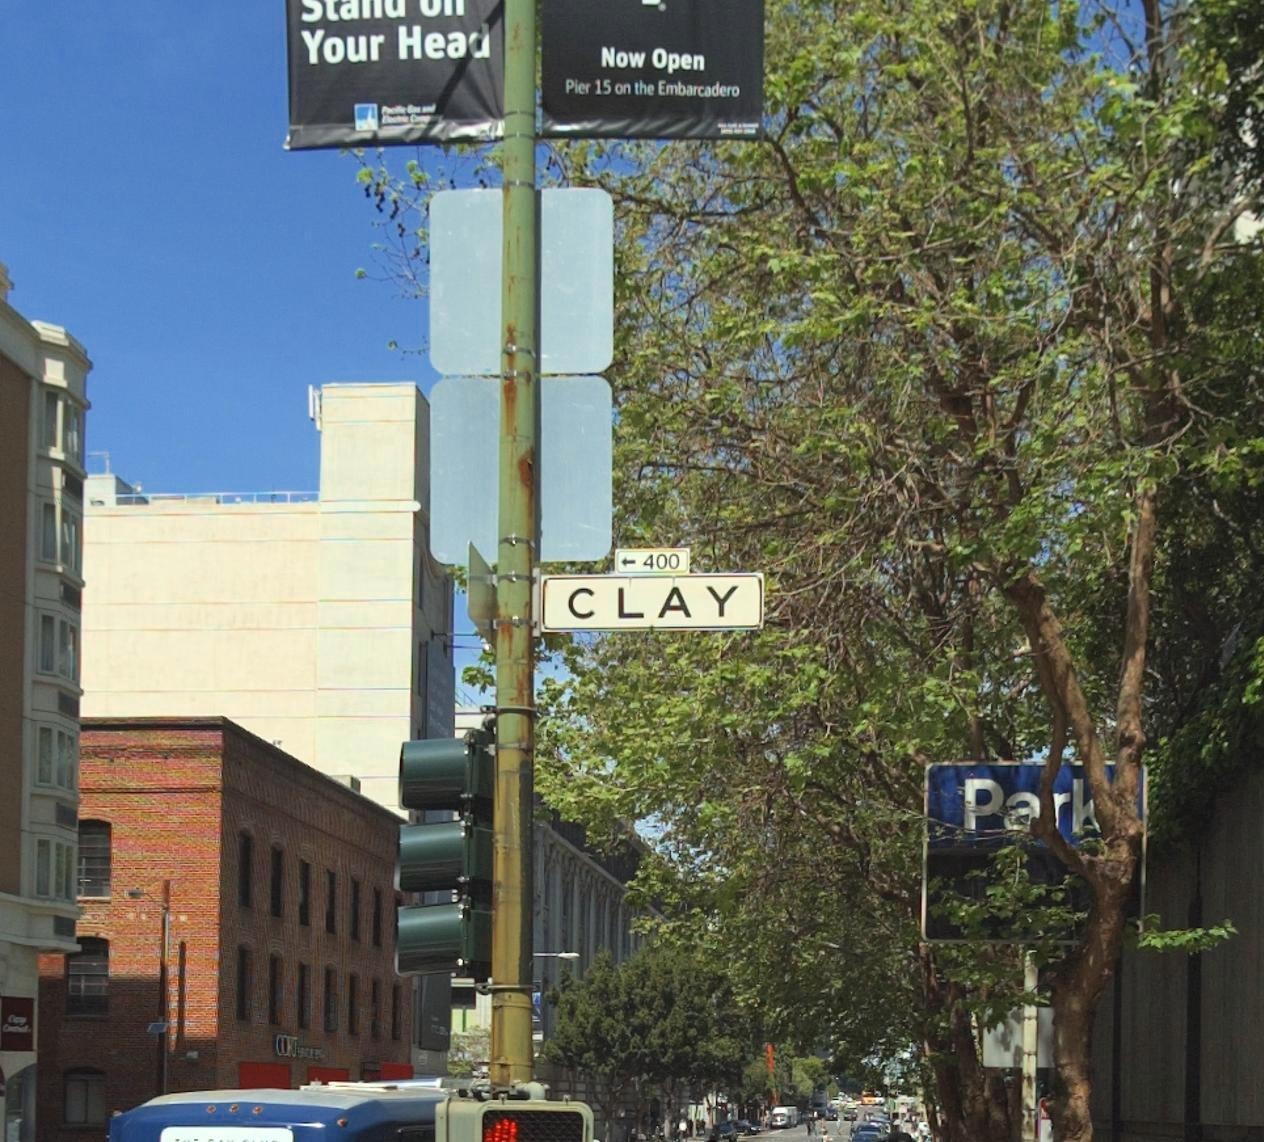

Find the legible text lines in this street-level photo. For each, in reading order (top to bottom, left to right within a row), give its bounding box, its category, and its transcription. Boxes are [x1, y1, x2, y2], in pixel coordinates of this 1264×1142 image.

[296, 20, 496, 68] None: Your Head
[596, 44, 710, 77] None: Now Open
[562, 75, 743, 99] None: Pier 15 on the Embarcadero
[619, 552, 681, 571] StreetNumberRange: <-400
[566, 584, 743, 619] StreetName: CLAY
[959, 775, 1040, 838] None: Pa